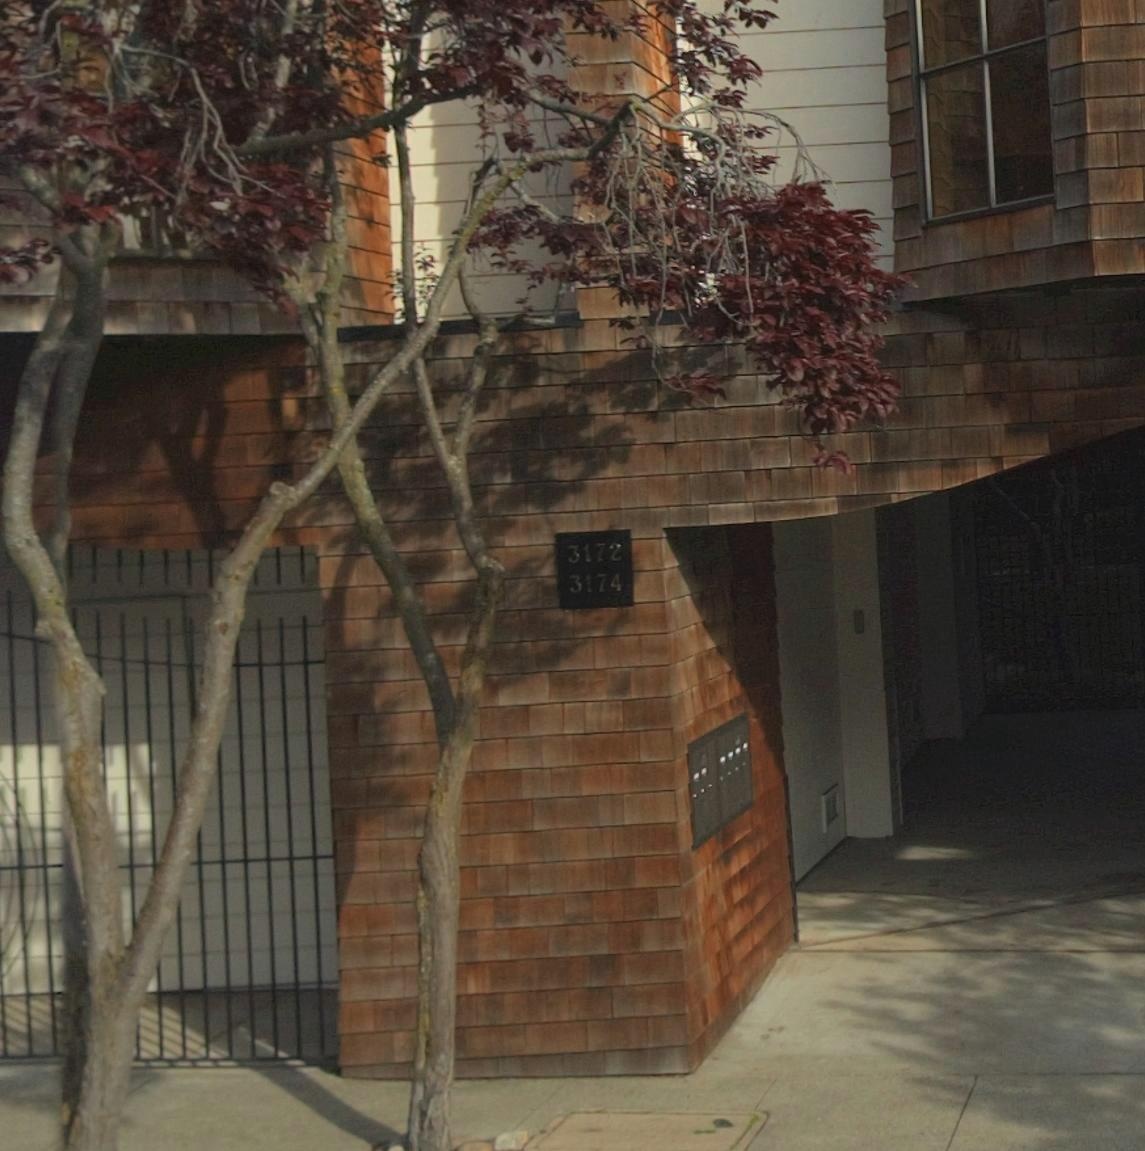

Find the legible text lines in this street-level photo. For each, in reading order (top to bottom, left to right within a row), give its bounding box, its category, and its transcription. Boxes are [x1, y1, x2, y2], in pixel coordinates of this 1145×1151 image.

[564, 538, 625, 566] StreetNumber: 3172
[566, 570, 626, 596] StreetNumber: 3174